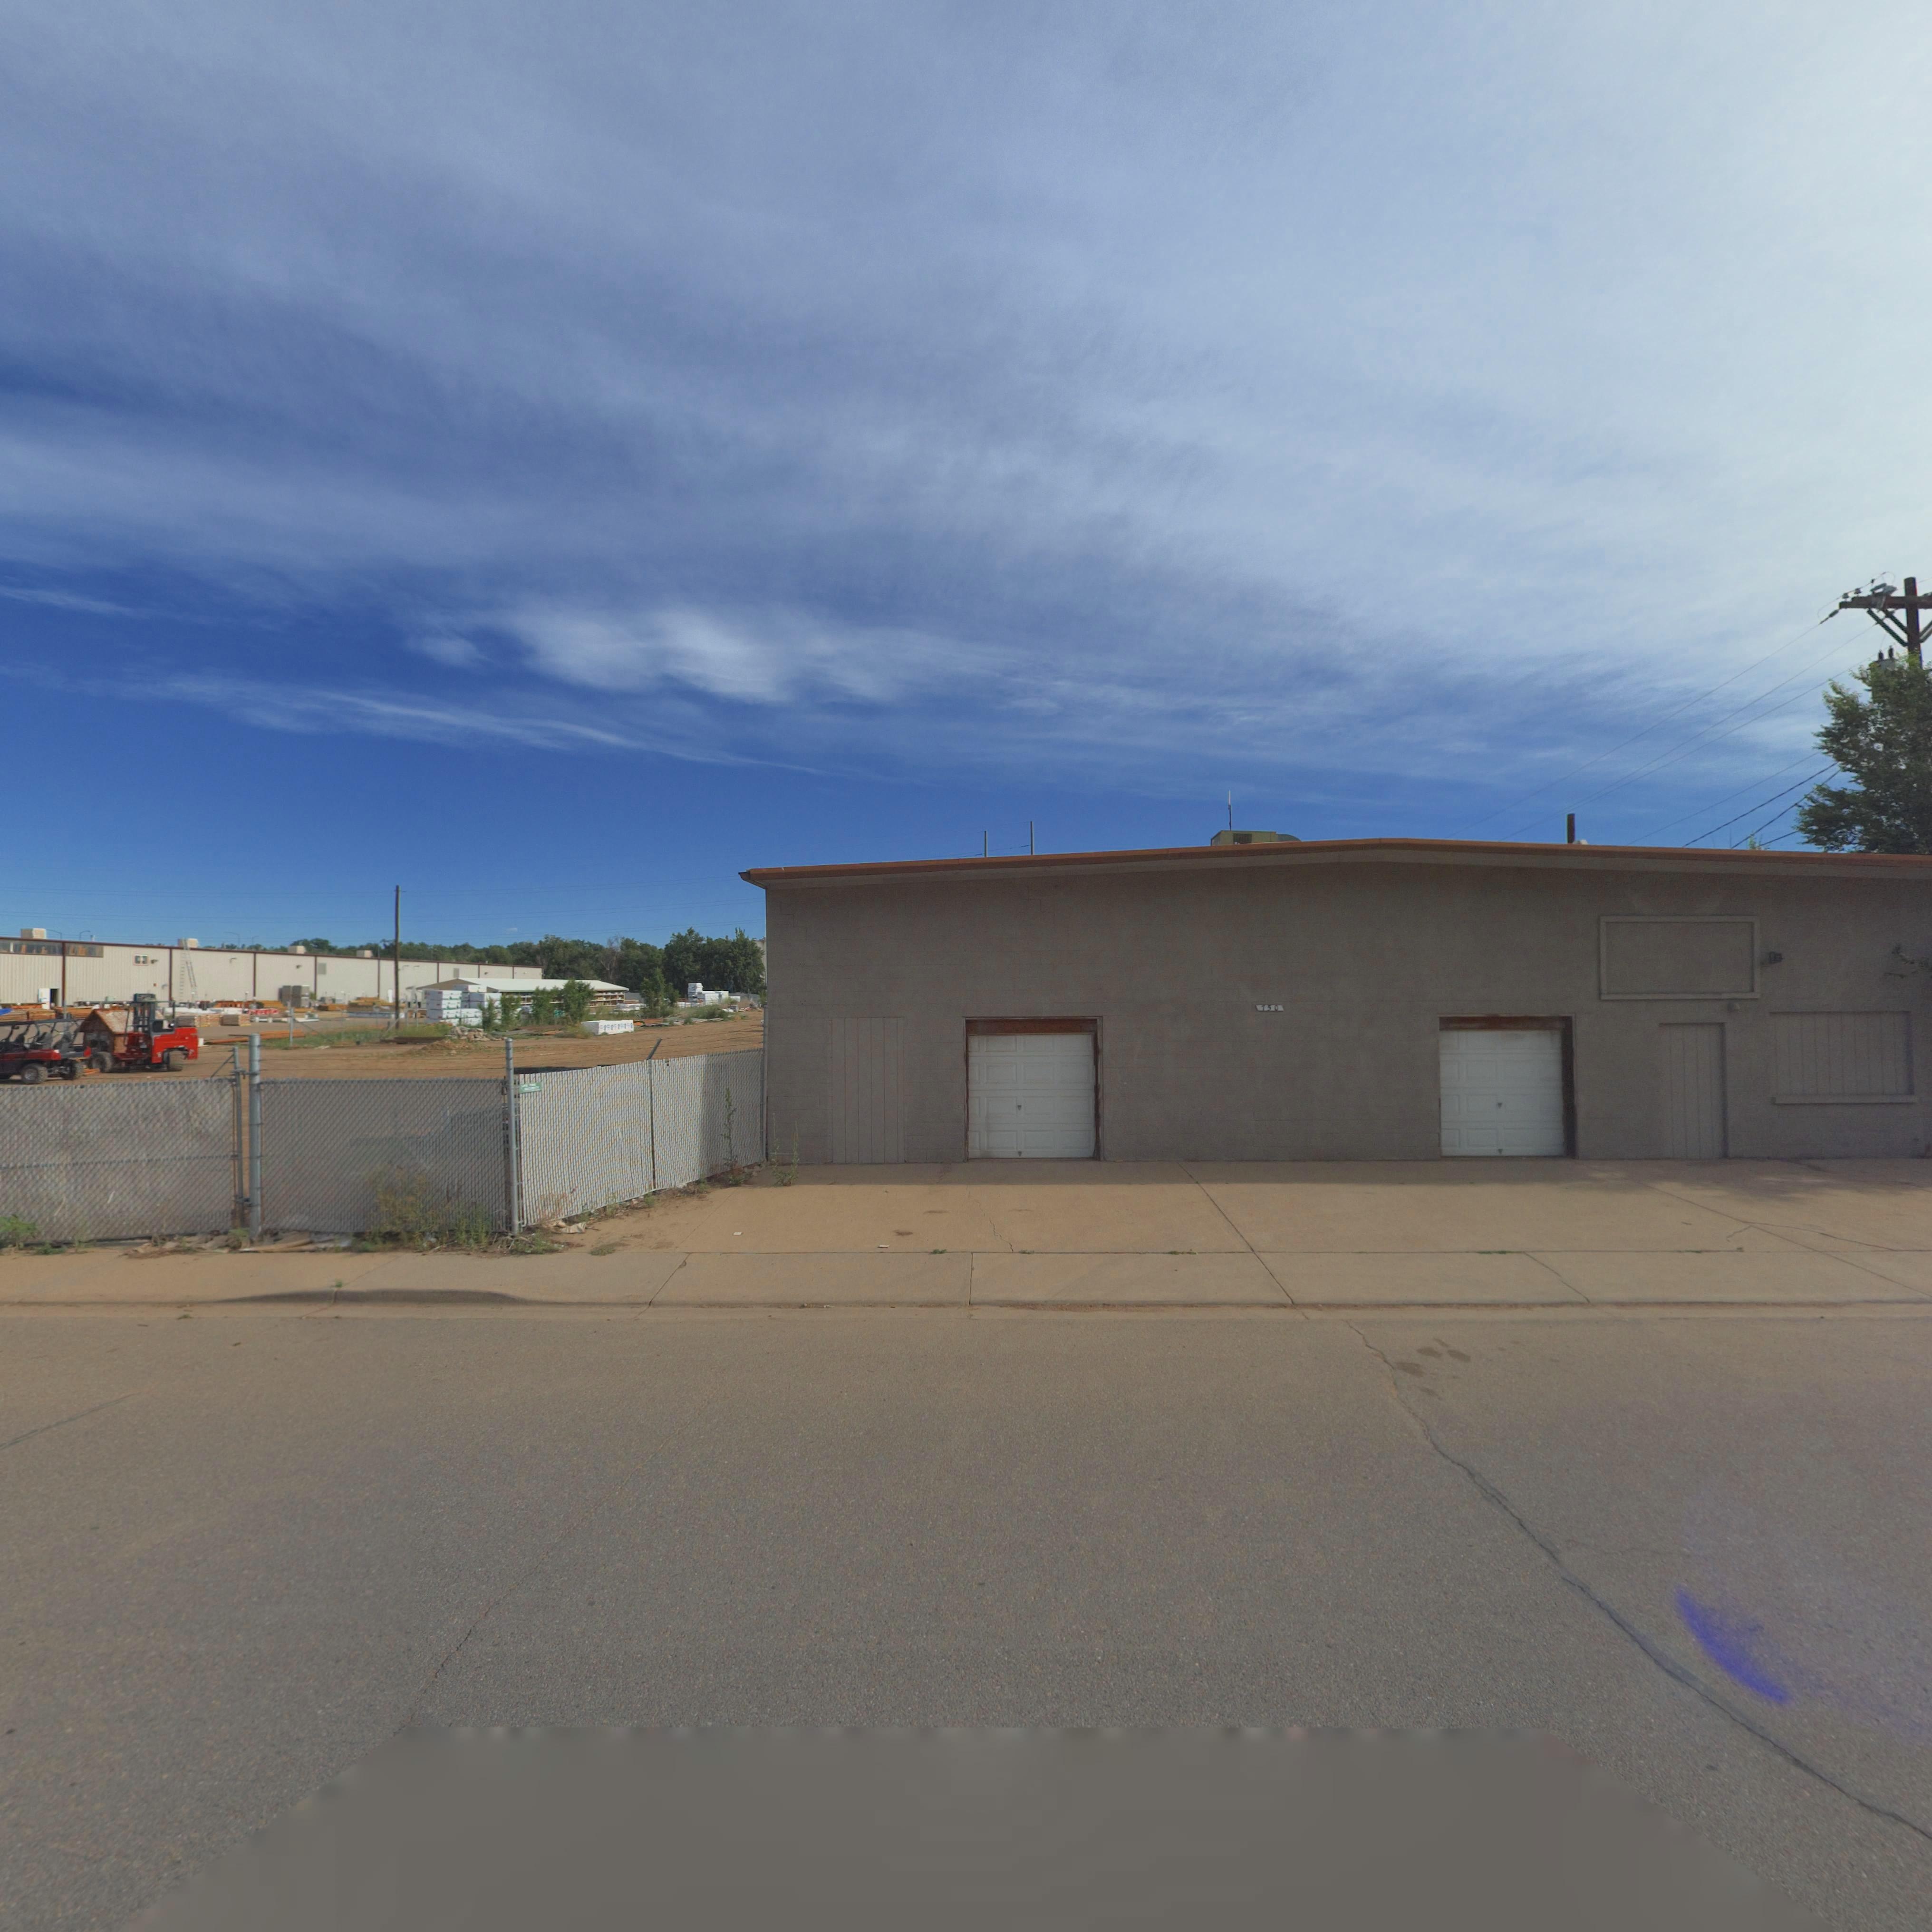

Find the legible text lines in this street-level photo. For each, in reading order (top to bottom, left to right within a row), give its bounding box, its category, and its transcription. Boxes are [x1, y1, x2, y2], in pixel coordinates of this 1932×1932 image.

[1261, 1004, 1278, 1011] StreetNumber: 150